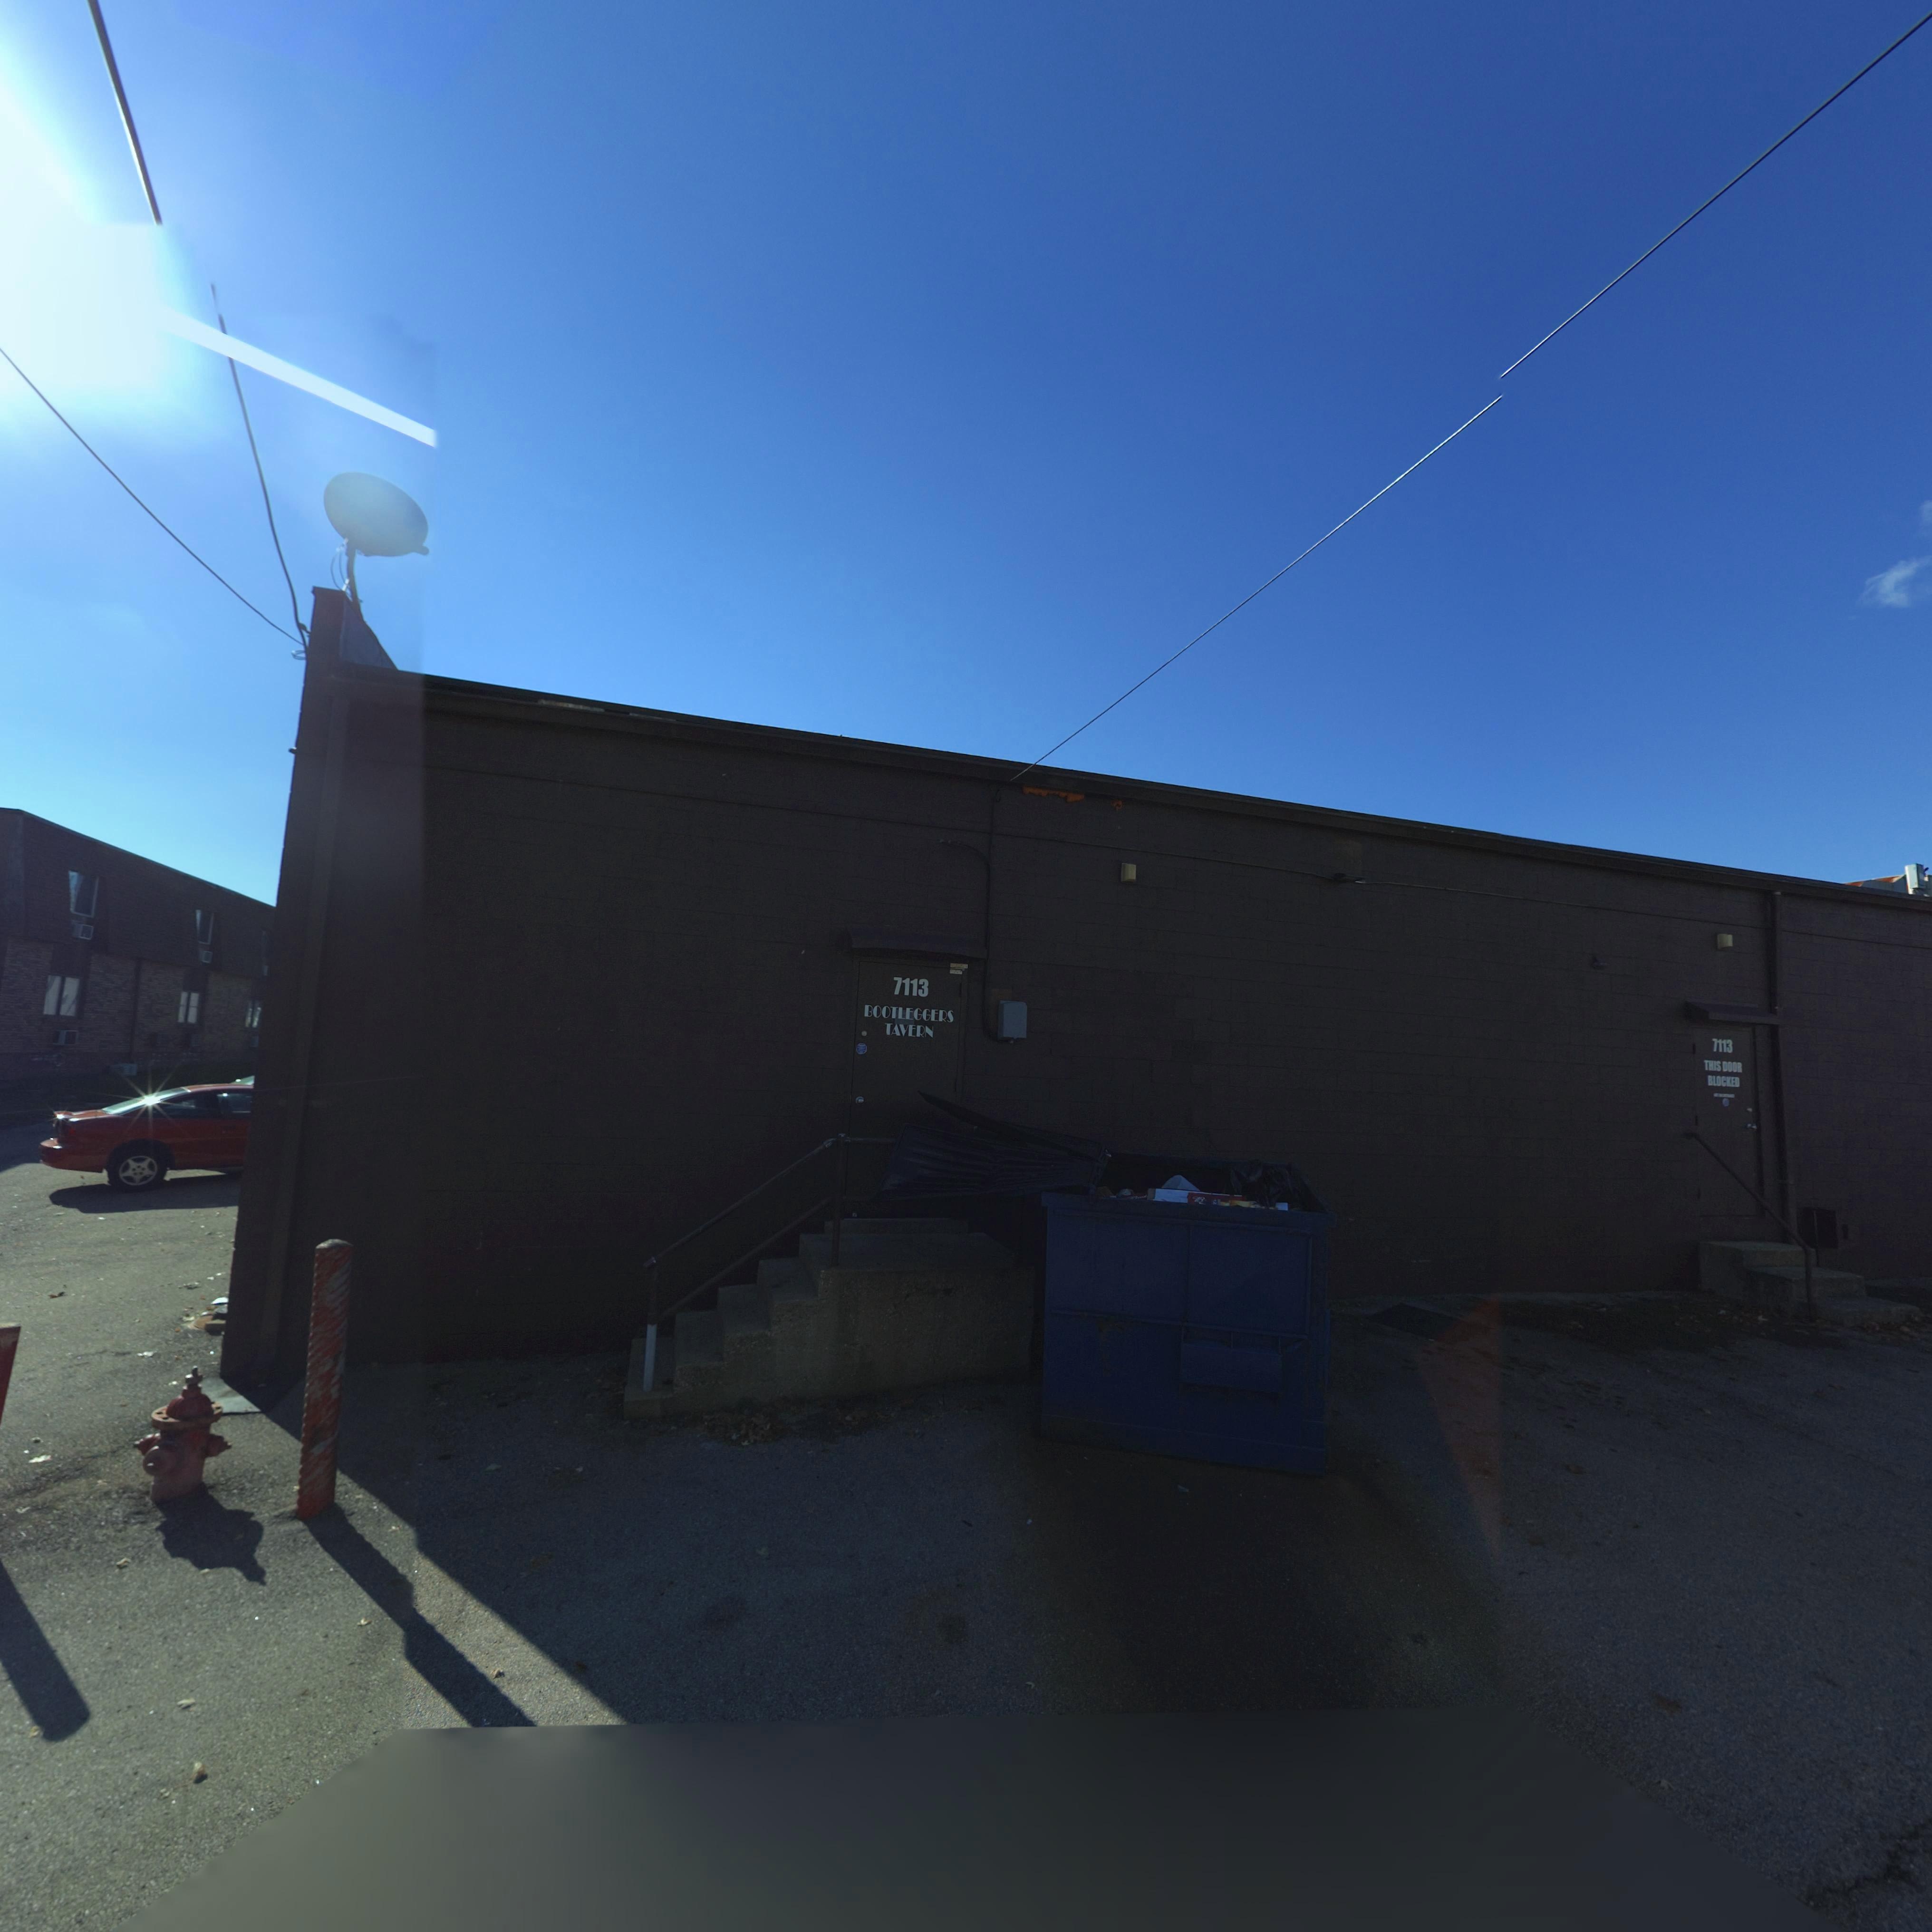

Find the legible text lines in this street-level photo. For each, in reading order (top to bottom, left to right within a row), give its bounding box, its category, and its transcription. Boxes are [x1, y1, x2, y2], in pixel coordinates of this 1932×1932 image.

[893, 976, 929, 997] StreetNumber: 7113
[863, 1004, 955, 1023] BusinessName: BOOTLEGGERS
[883, 1022, 935, 1039] BusinessName: TAVERN
[1711, 1038, 1733, 1053] StreetNumber: 7113